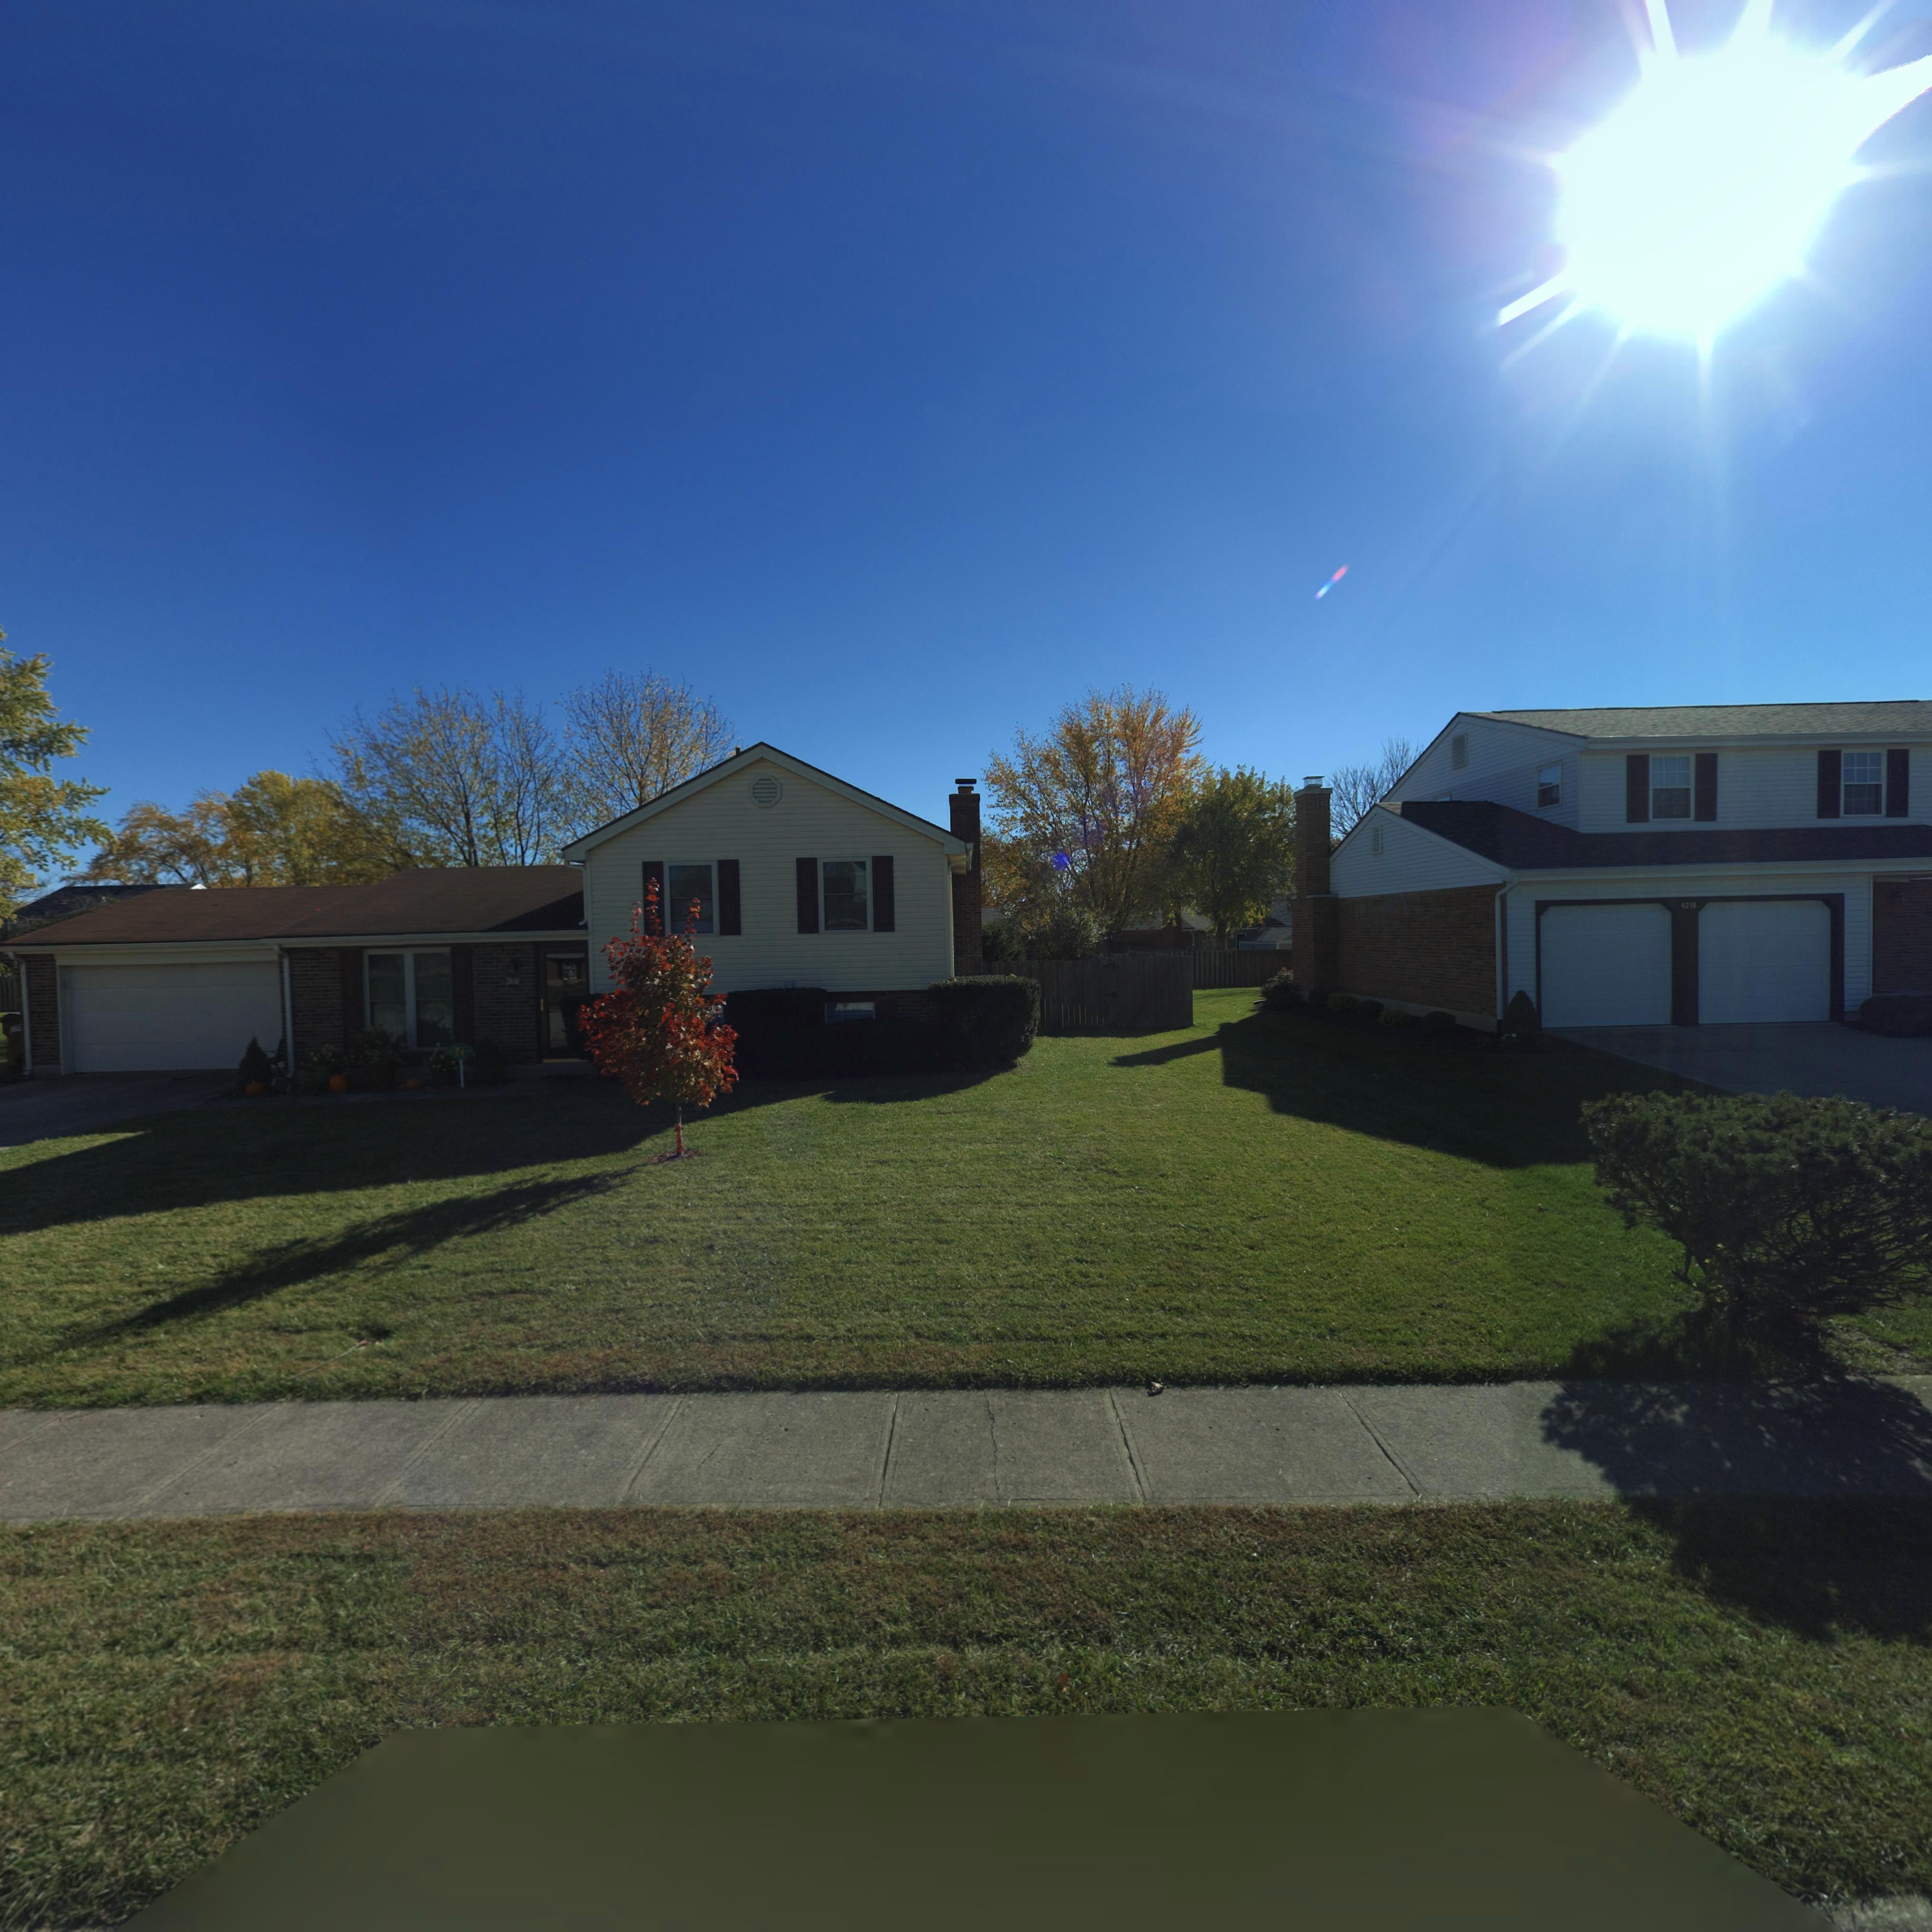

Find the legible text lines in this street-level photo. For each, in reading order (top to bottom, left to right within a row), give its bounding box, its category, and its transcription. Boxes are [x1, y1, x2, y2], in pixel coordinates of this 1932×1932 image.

[1680, 901, 1698, 910] StreetNumber: 421*